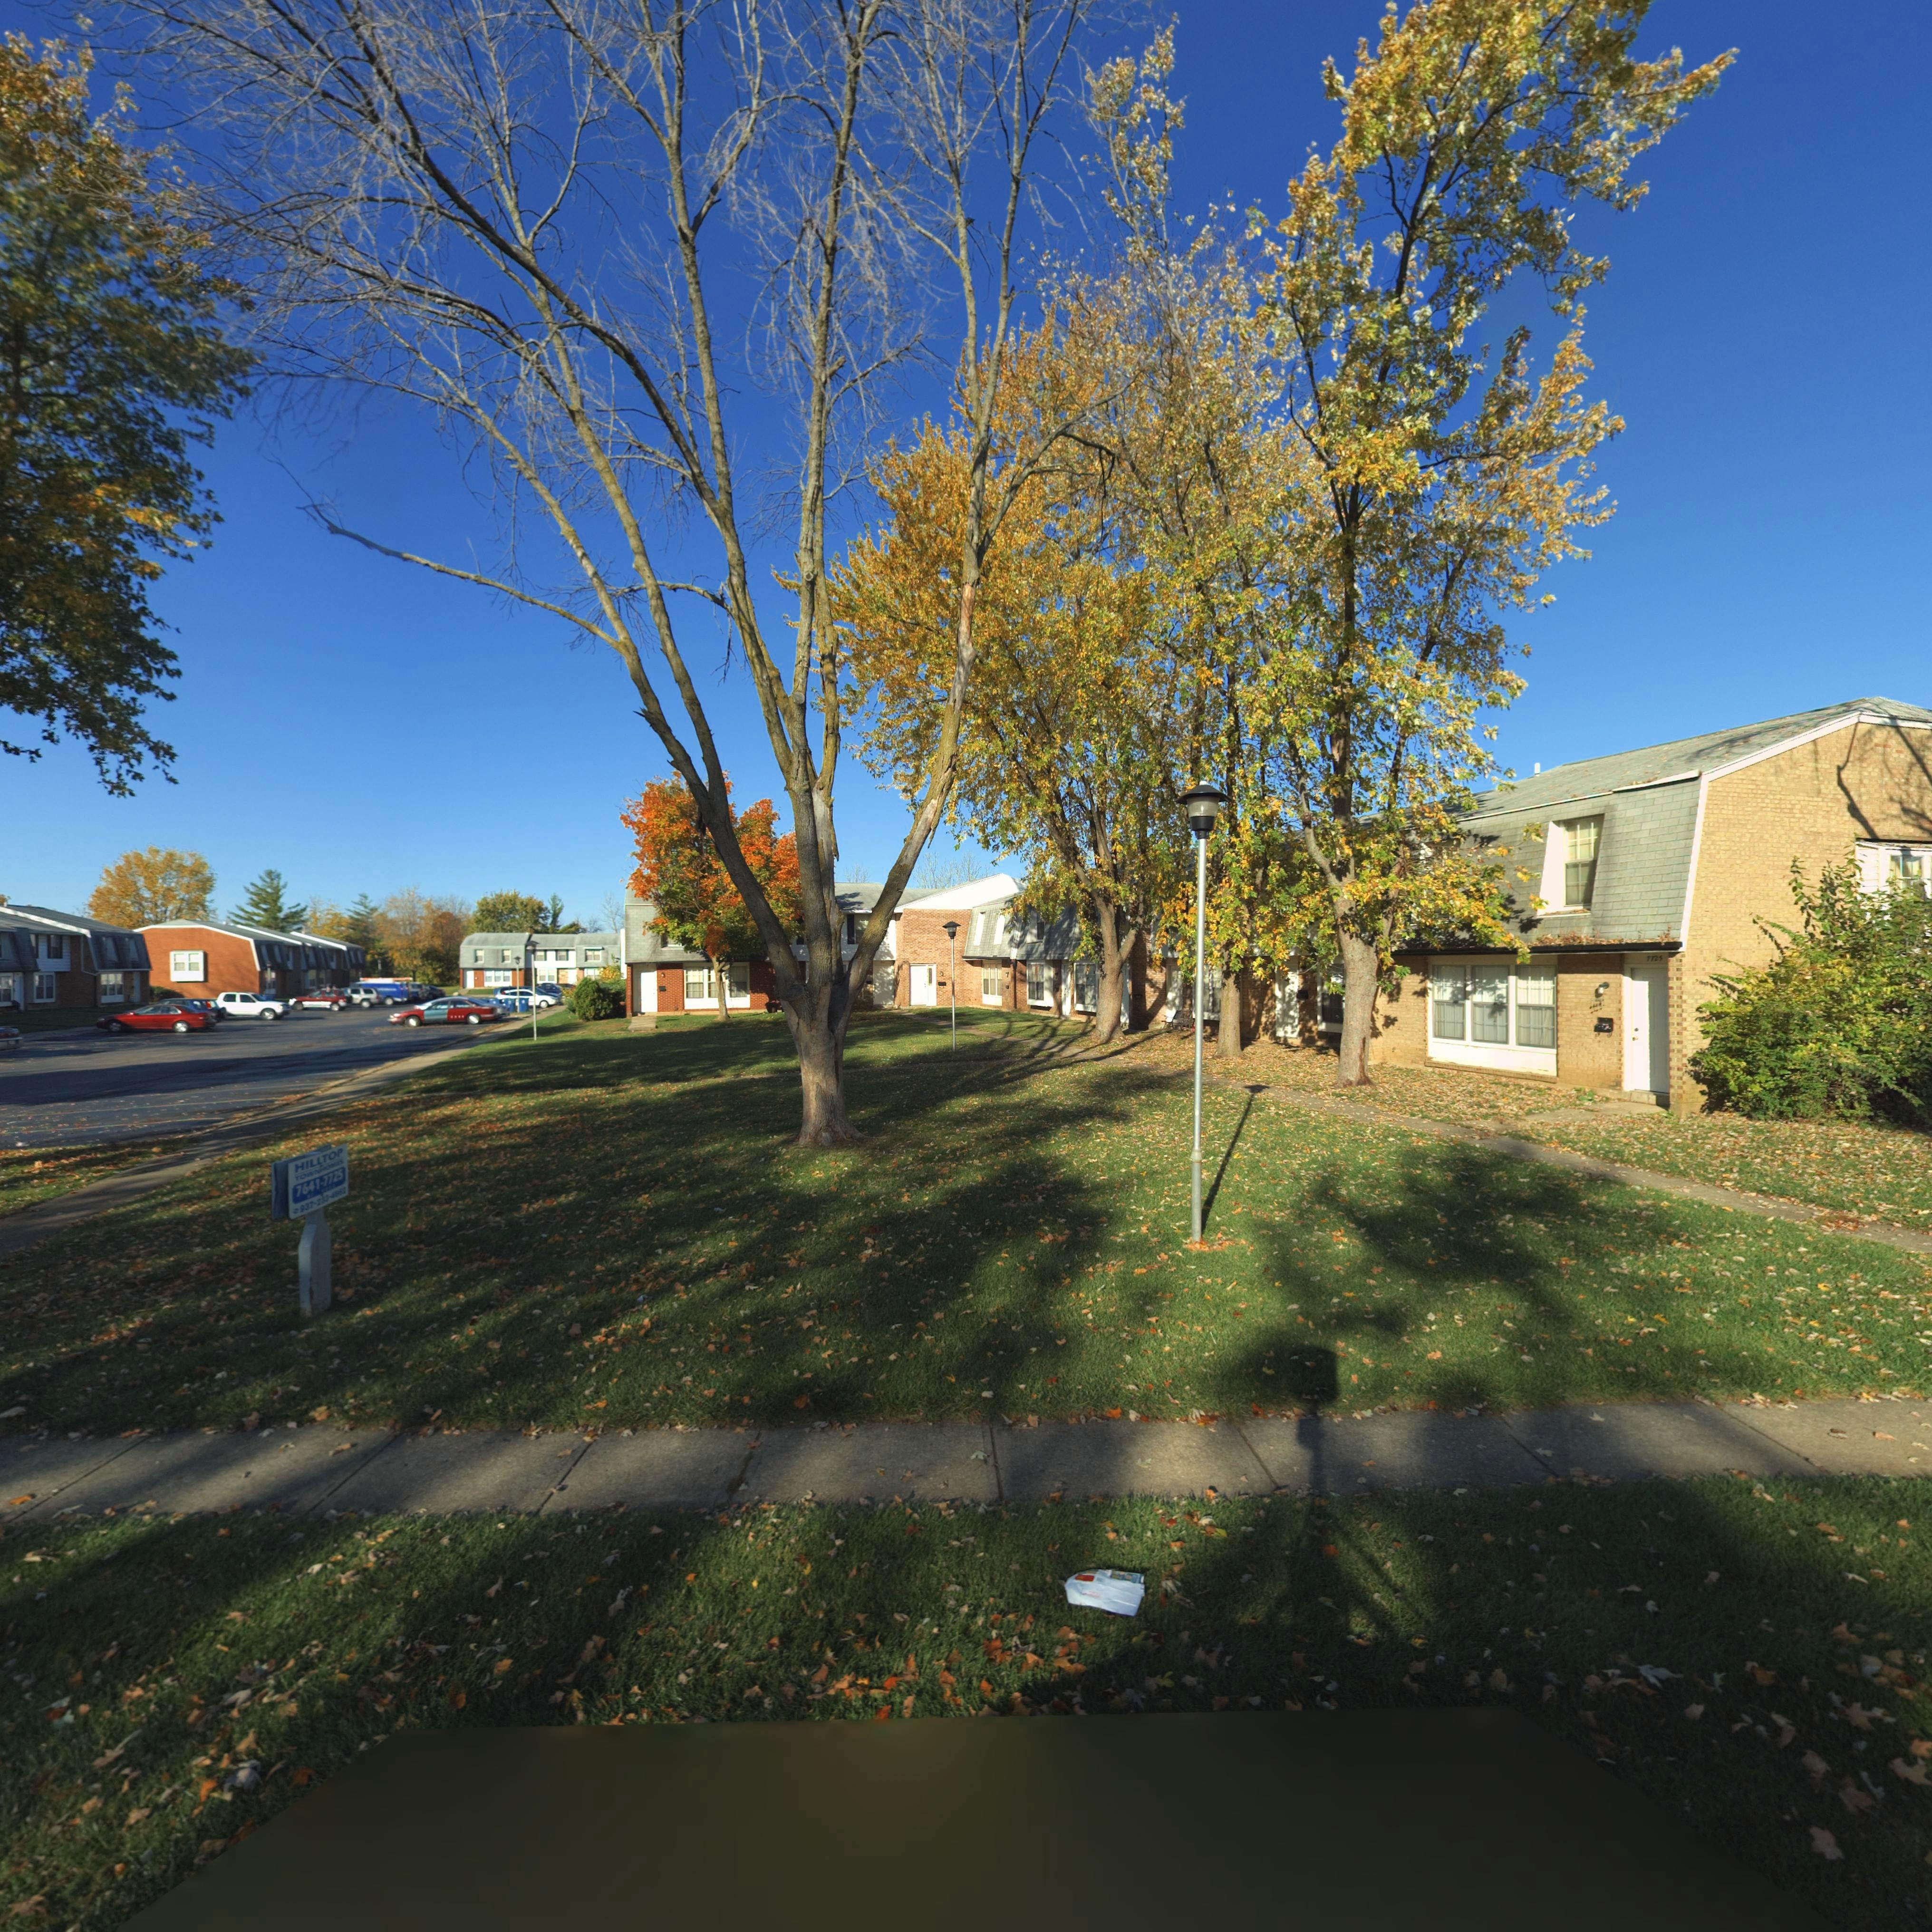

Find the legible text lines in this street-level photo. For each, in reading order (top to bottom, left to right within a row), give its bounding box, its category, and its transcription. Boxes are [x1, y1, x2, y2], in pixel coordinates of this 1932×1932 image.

[1645, 954, 1664, 963] StreetNumber: 7725